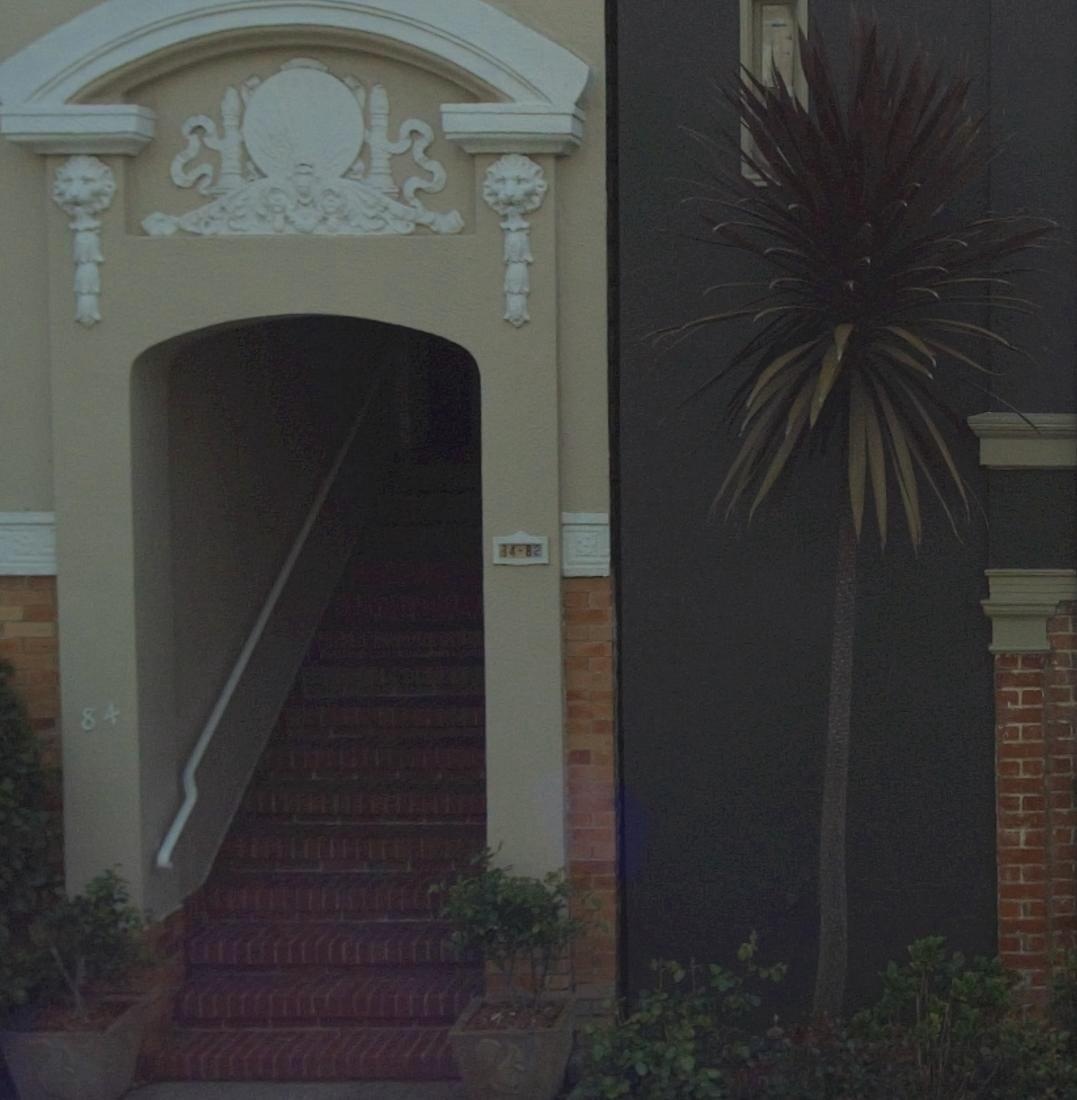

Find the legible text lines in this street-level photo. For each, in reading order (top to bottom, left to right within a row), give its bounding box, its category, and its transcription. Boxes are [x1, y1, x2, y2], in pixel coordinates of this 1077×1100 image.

[497, 544, 518, 559] StreetNumber: 84
[524, 544, 542, 557] StreetNumber: 82
[78, 698, 122, 734] StreetNumber: 84